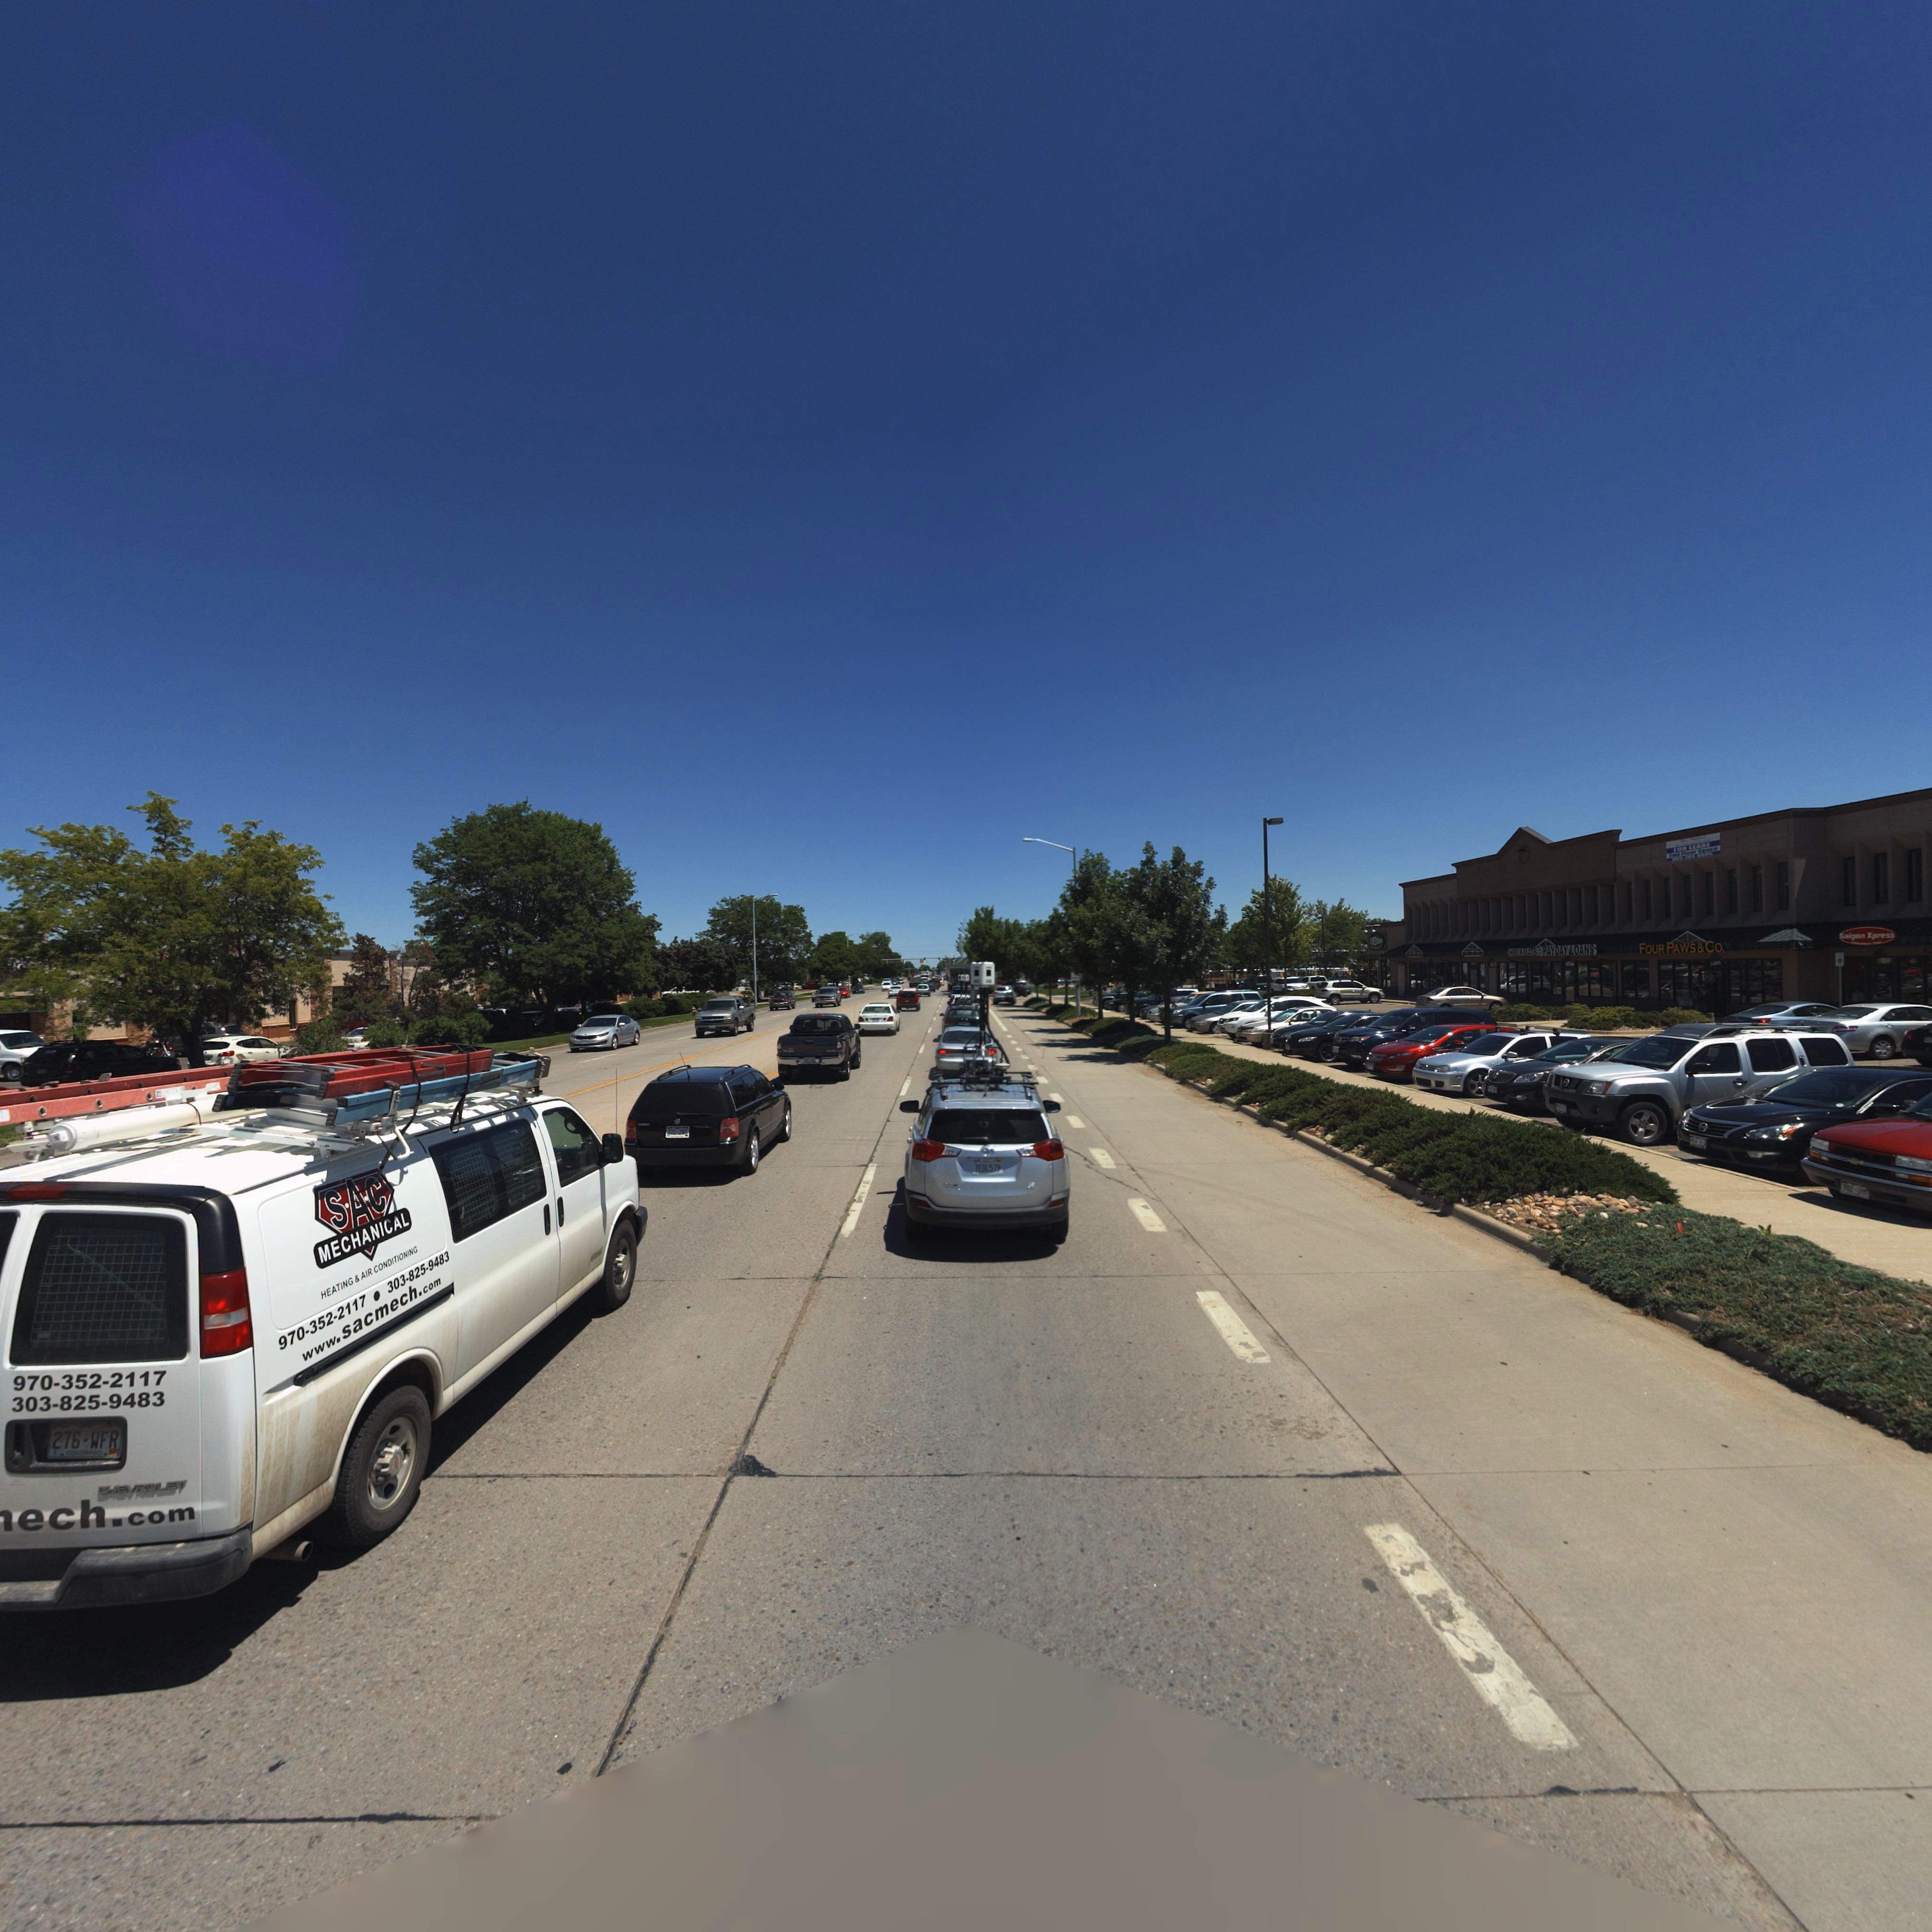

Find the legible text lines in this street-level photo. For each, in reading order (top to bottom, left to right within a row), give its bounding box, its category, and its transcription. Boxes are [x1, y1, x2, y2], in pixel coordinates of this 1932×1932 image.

[1369, 936, 1383, 946] BusinessName: CH*B******
[1506, 944, 1597, 956] BusinessName: CHECKMATE PAYDAY LOANS
[1638, 940, 1725, 954] BusinessName: FOUR PAWS & CO*
[1838, 931, 1895, 940] BusinessName: Saigon Xpress